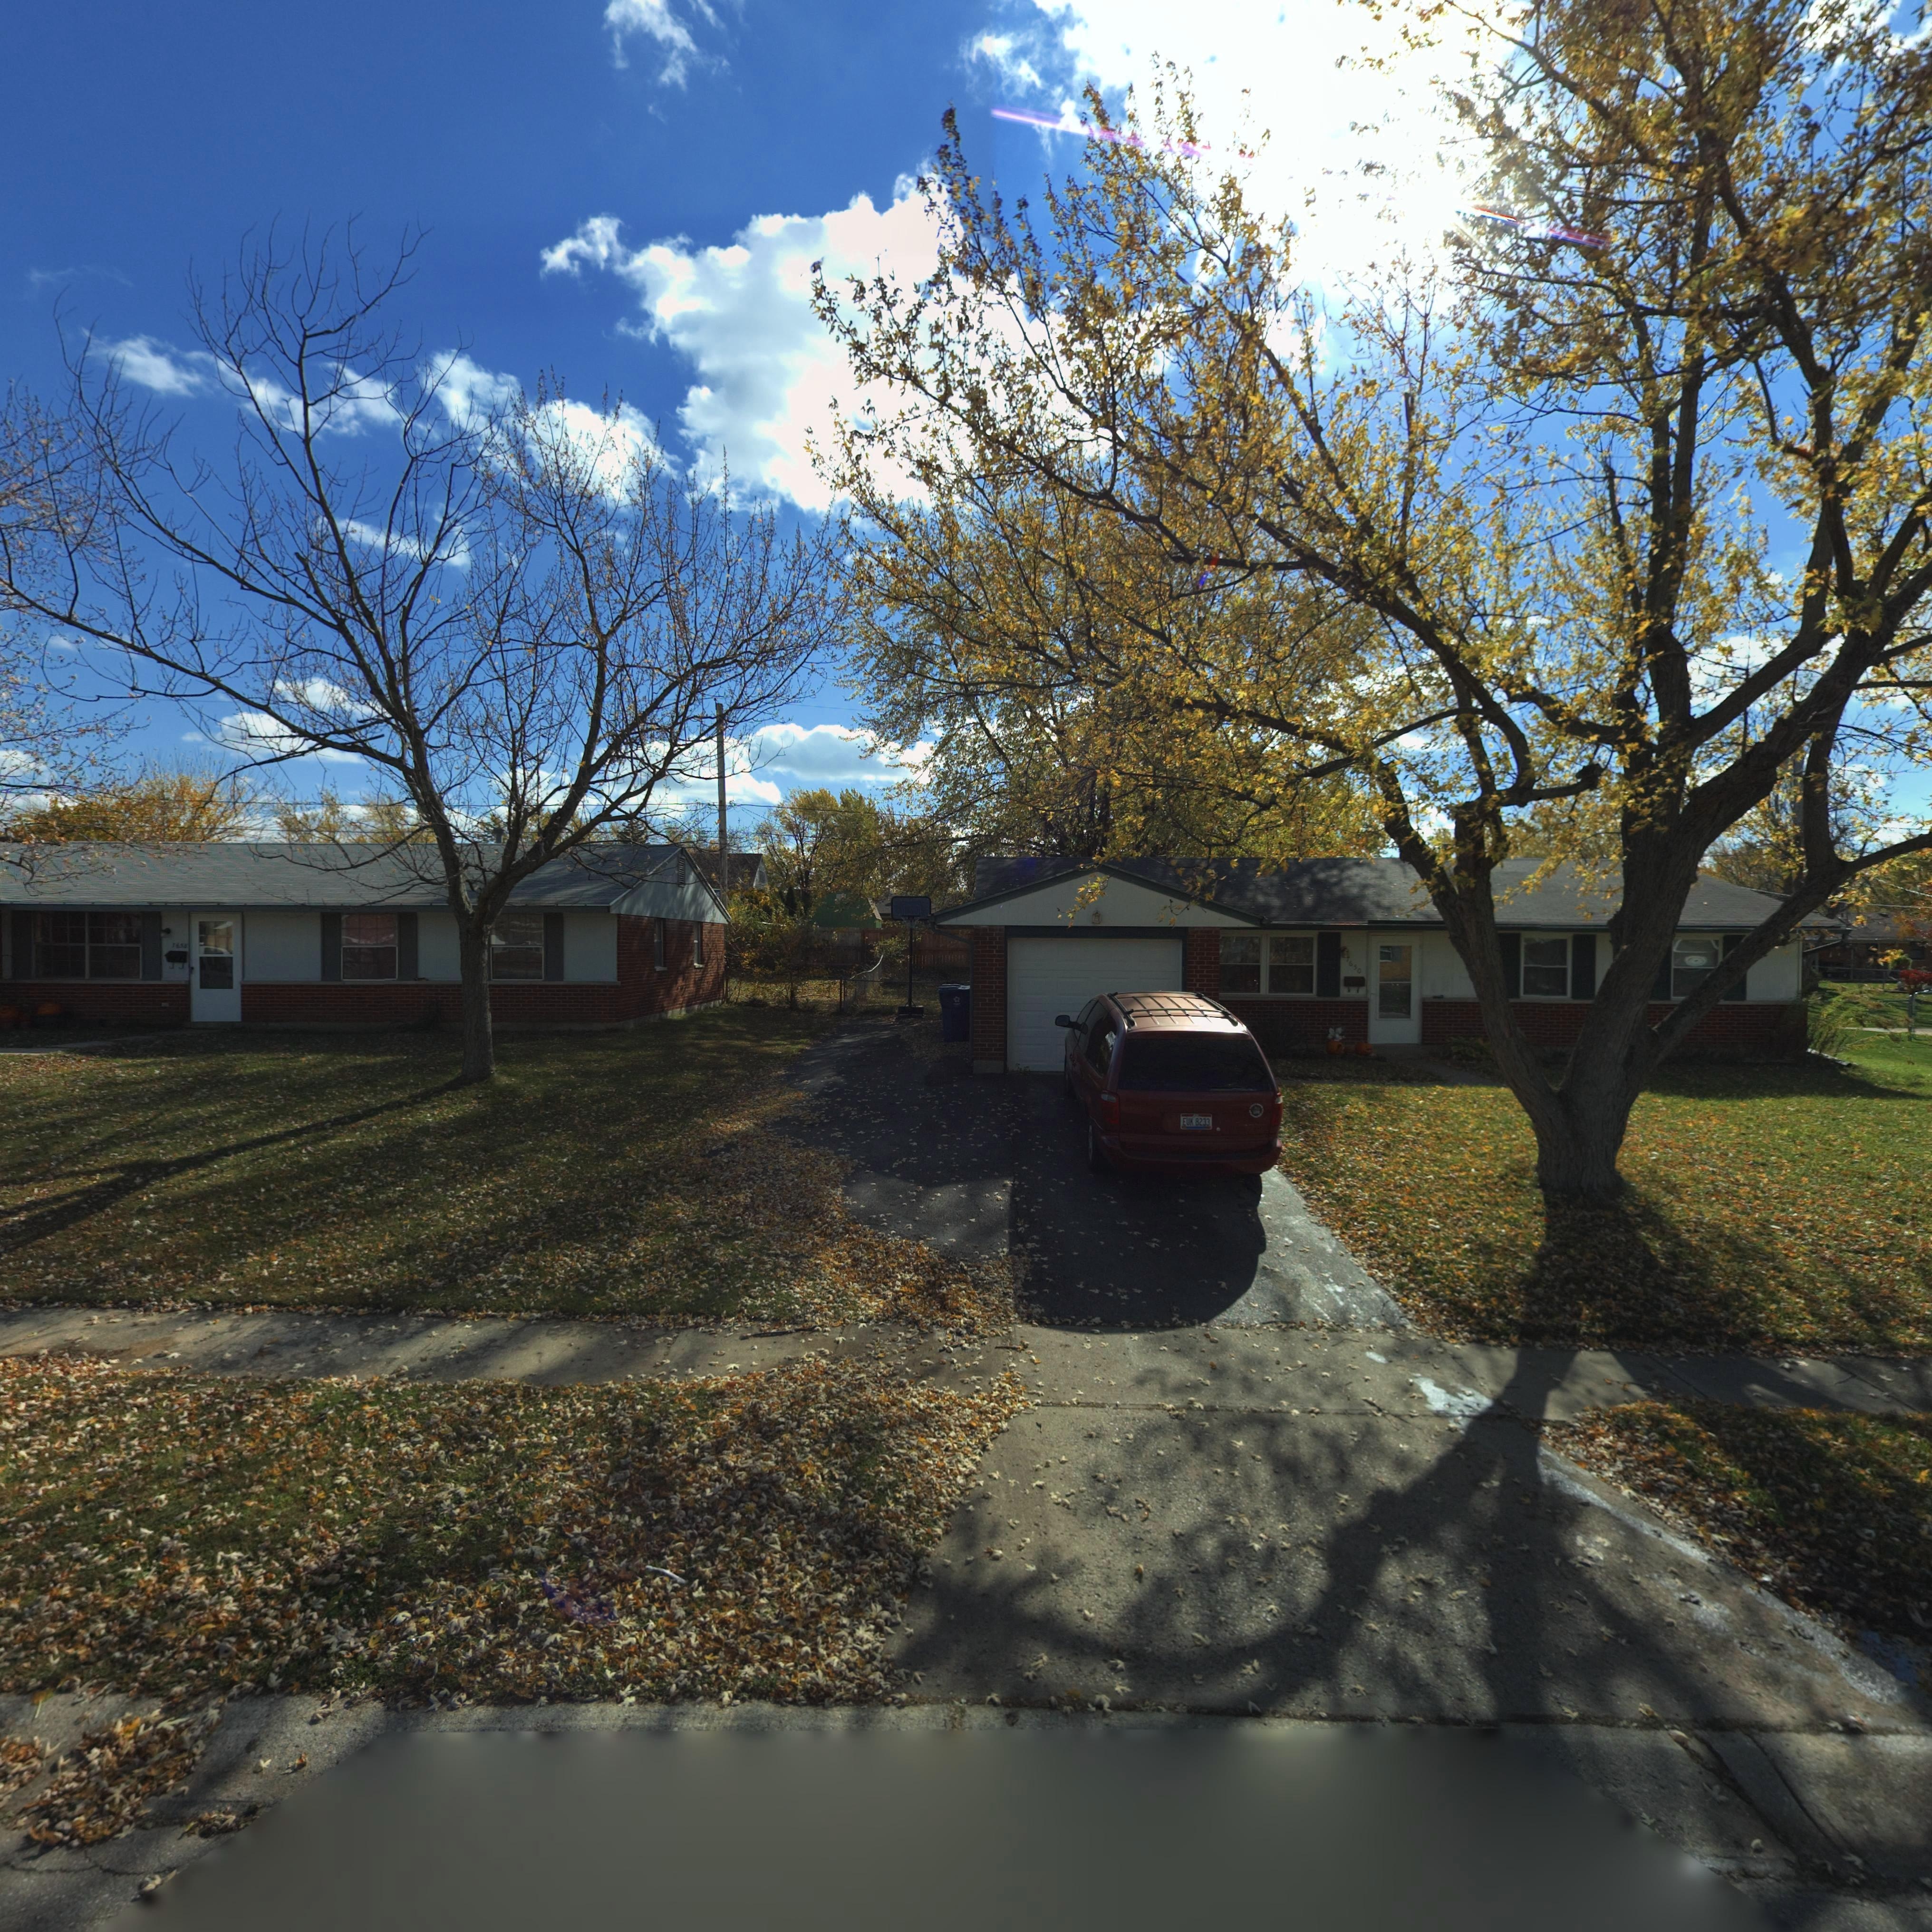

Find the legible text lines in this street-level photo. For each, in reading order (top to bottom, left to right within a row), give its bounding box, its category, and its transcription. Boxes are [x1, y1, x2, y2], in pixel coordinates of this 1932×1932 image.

[172, 942, 188, 948] StreetNumber: 7658
[1345, 956, 1362, 975] StreetNumber: 7650